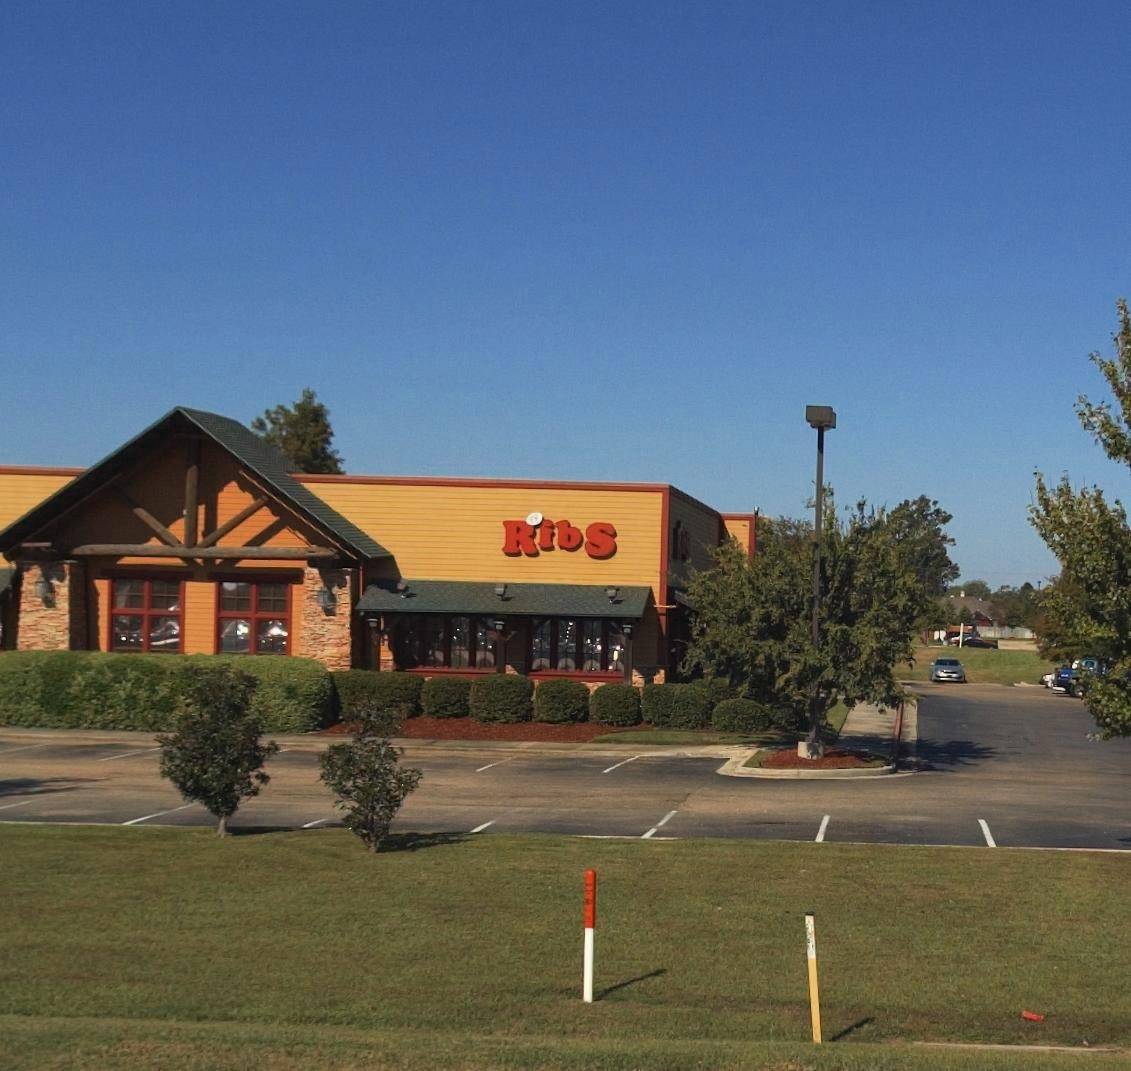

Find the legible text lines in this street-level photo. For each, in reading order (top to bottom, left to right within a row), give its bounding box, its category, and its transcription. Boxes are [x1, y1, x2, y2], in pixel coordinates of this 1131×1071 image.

[500, 518, 618, 558] BusinessName: Ribs